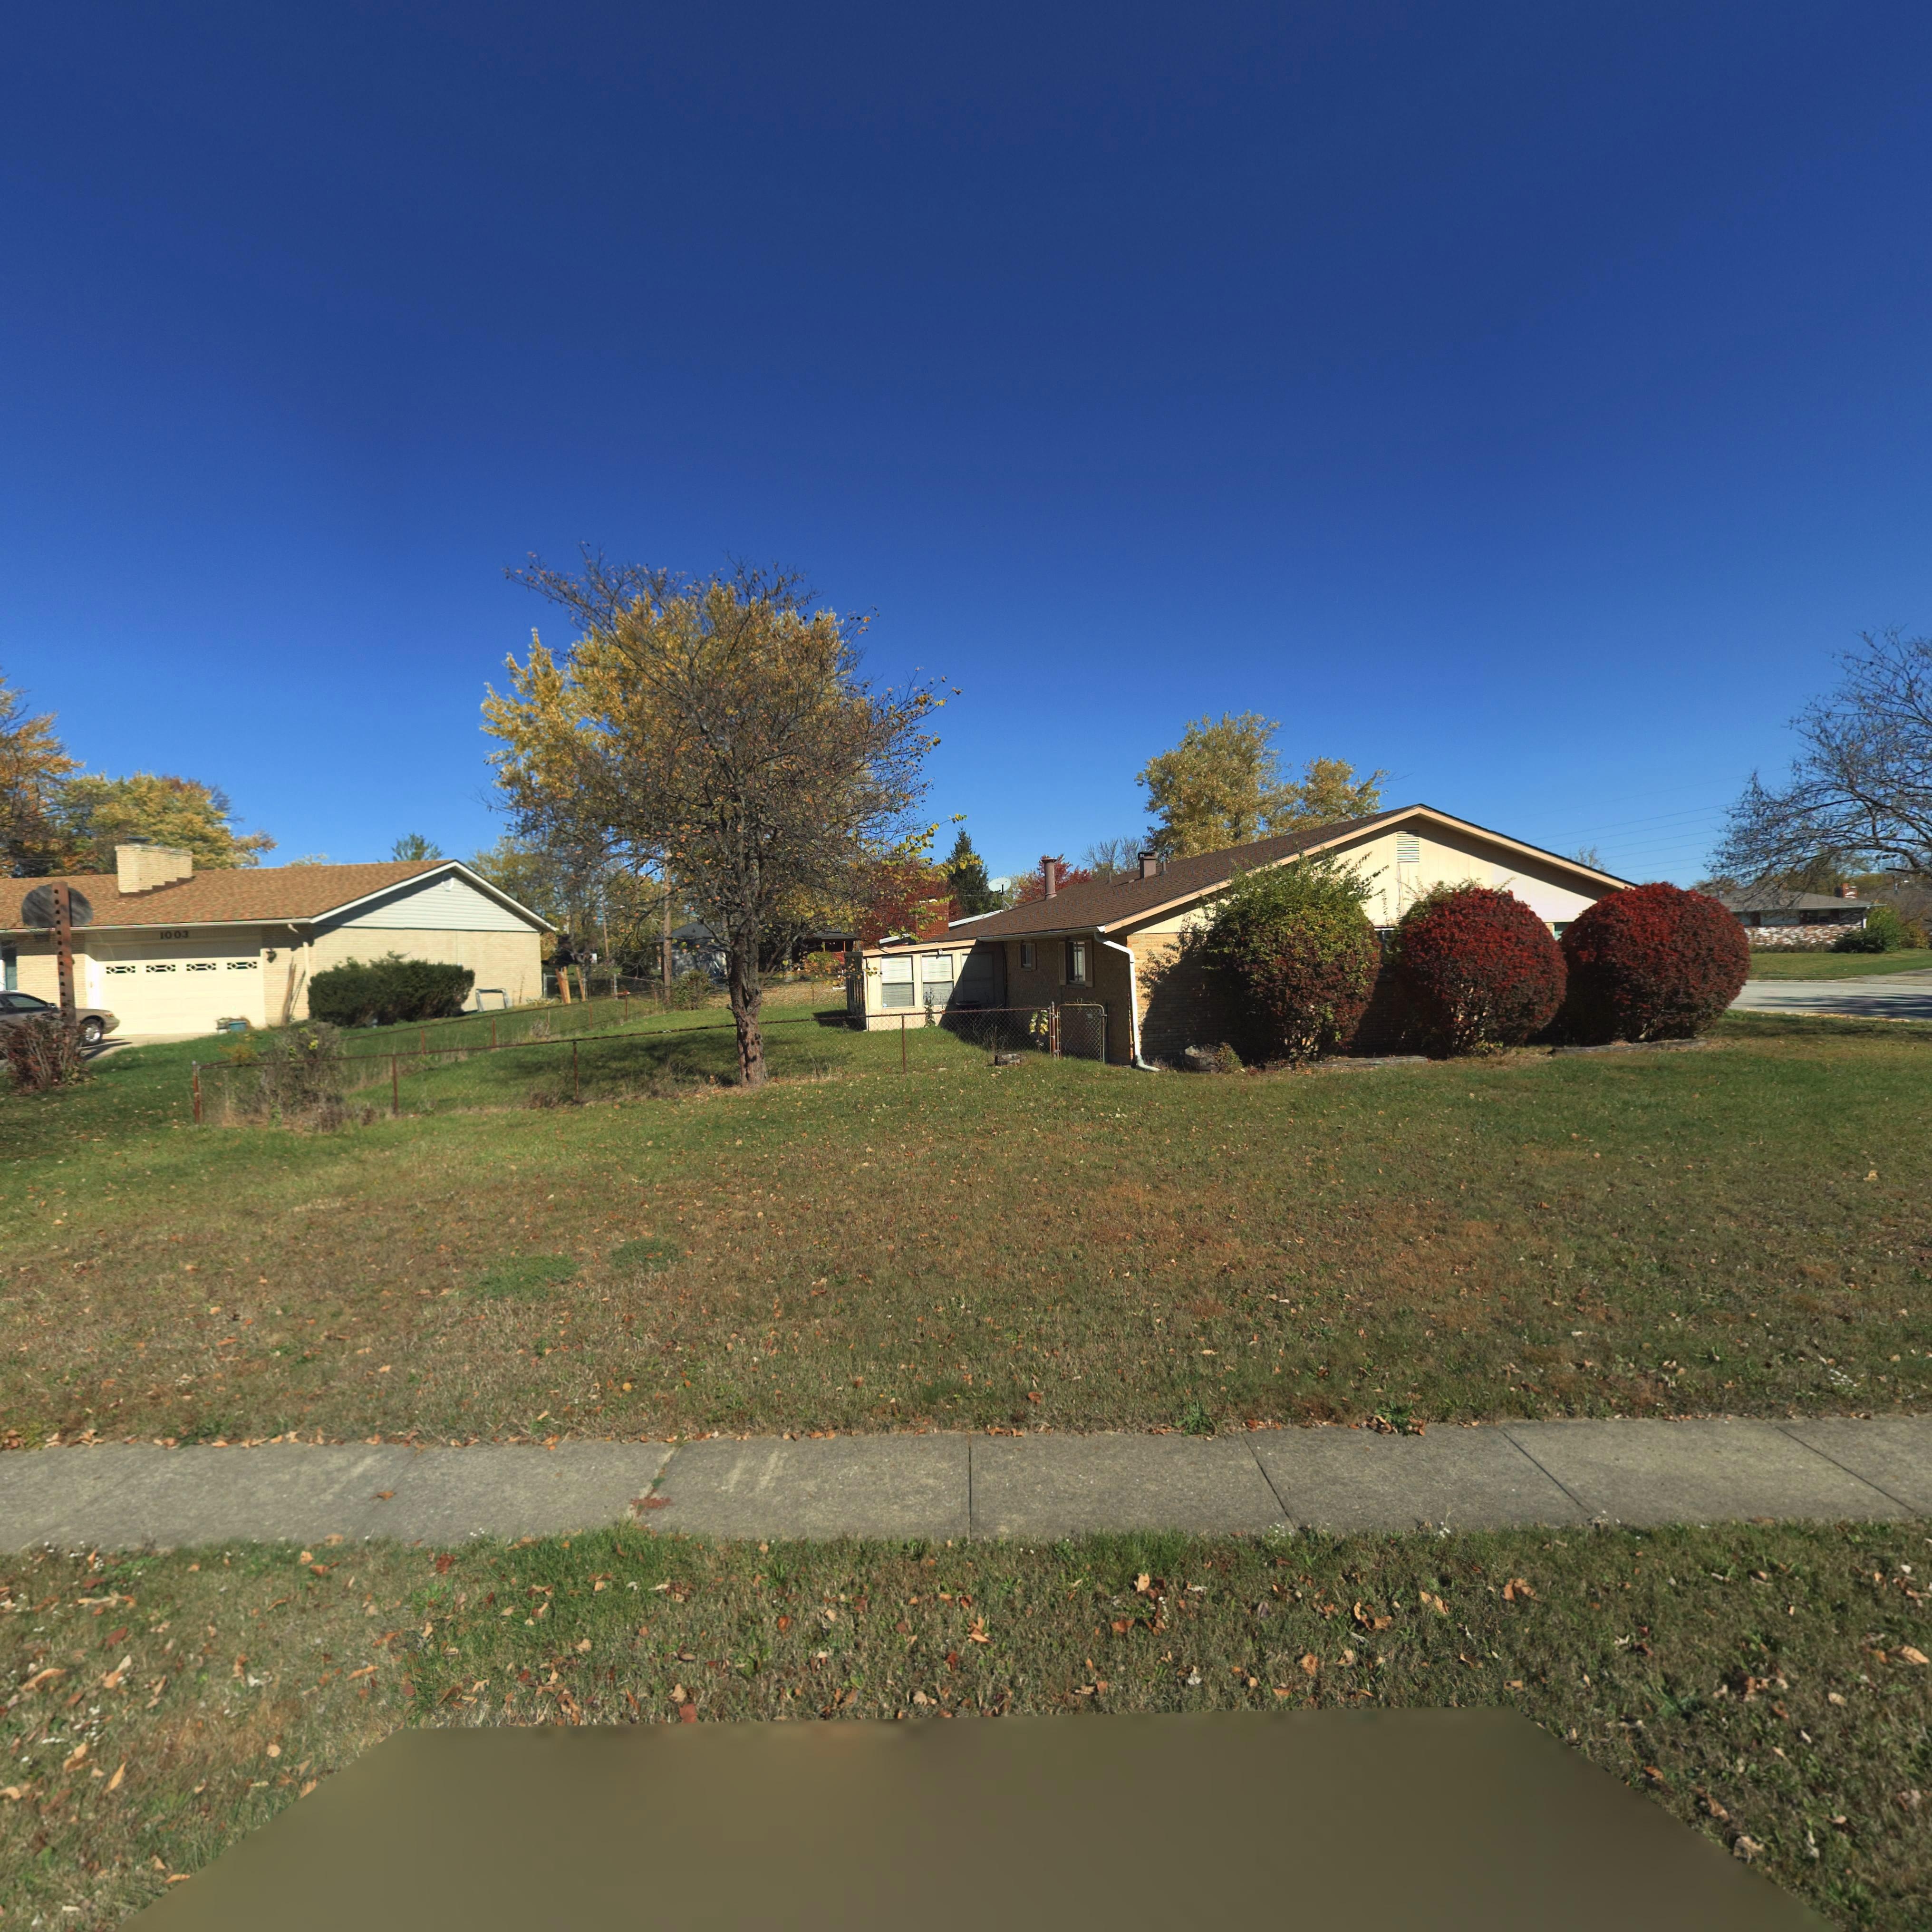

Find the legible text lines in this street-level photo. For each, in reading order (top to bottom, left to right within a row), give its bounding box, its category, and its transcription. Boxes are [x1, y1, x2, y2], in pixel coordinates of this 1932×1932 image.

[159, 930, 189, 940] StreetNumber: 1003